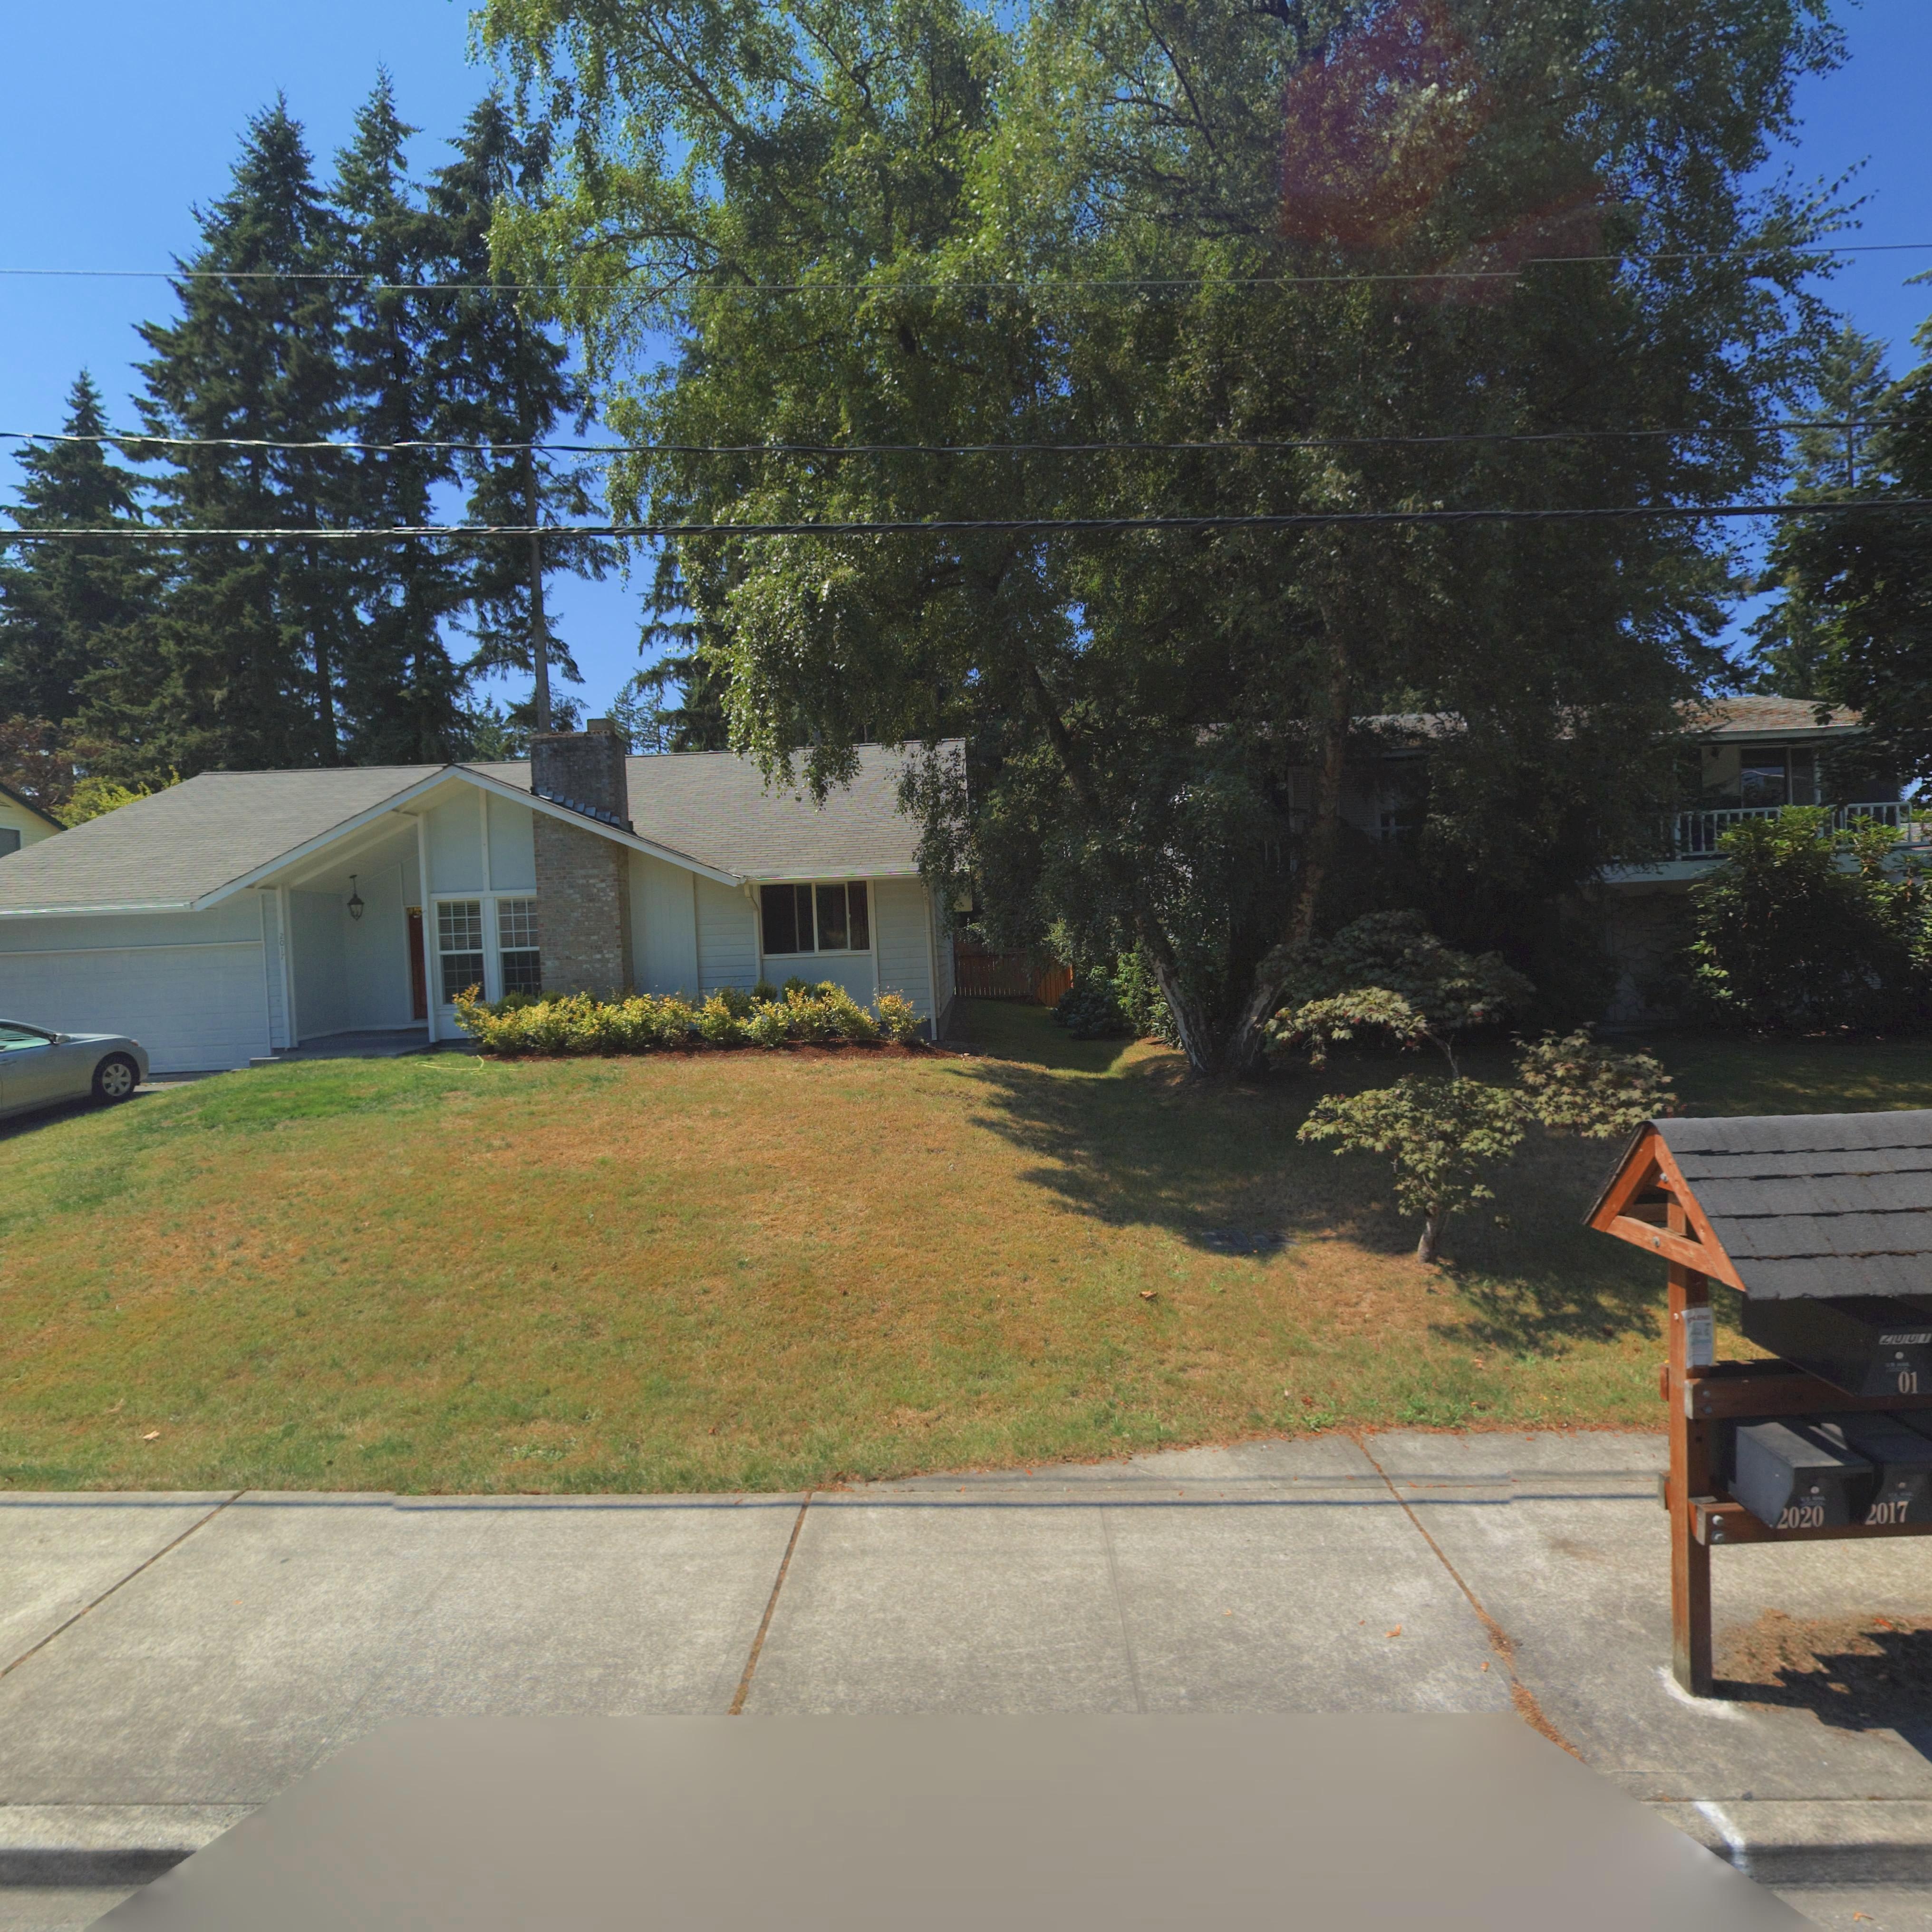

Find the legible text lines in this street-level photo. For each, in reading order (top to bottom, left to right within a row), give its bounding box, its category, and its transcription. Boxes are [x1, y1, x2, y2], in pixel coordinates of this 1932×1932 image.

[278, 930, 287, 962] StreetNumber: 2017
[1879, 1333, 1930, 1346] StreetNumber: 2001
[1777, 1505, 1824, 1529] StreetNumber: 2020
[1864, 1498, 1909, 1526] StreetNumber: 2017